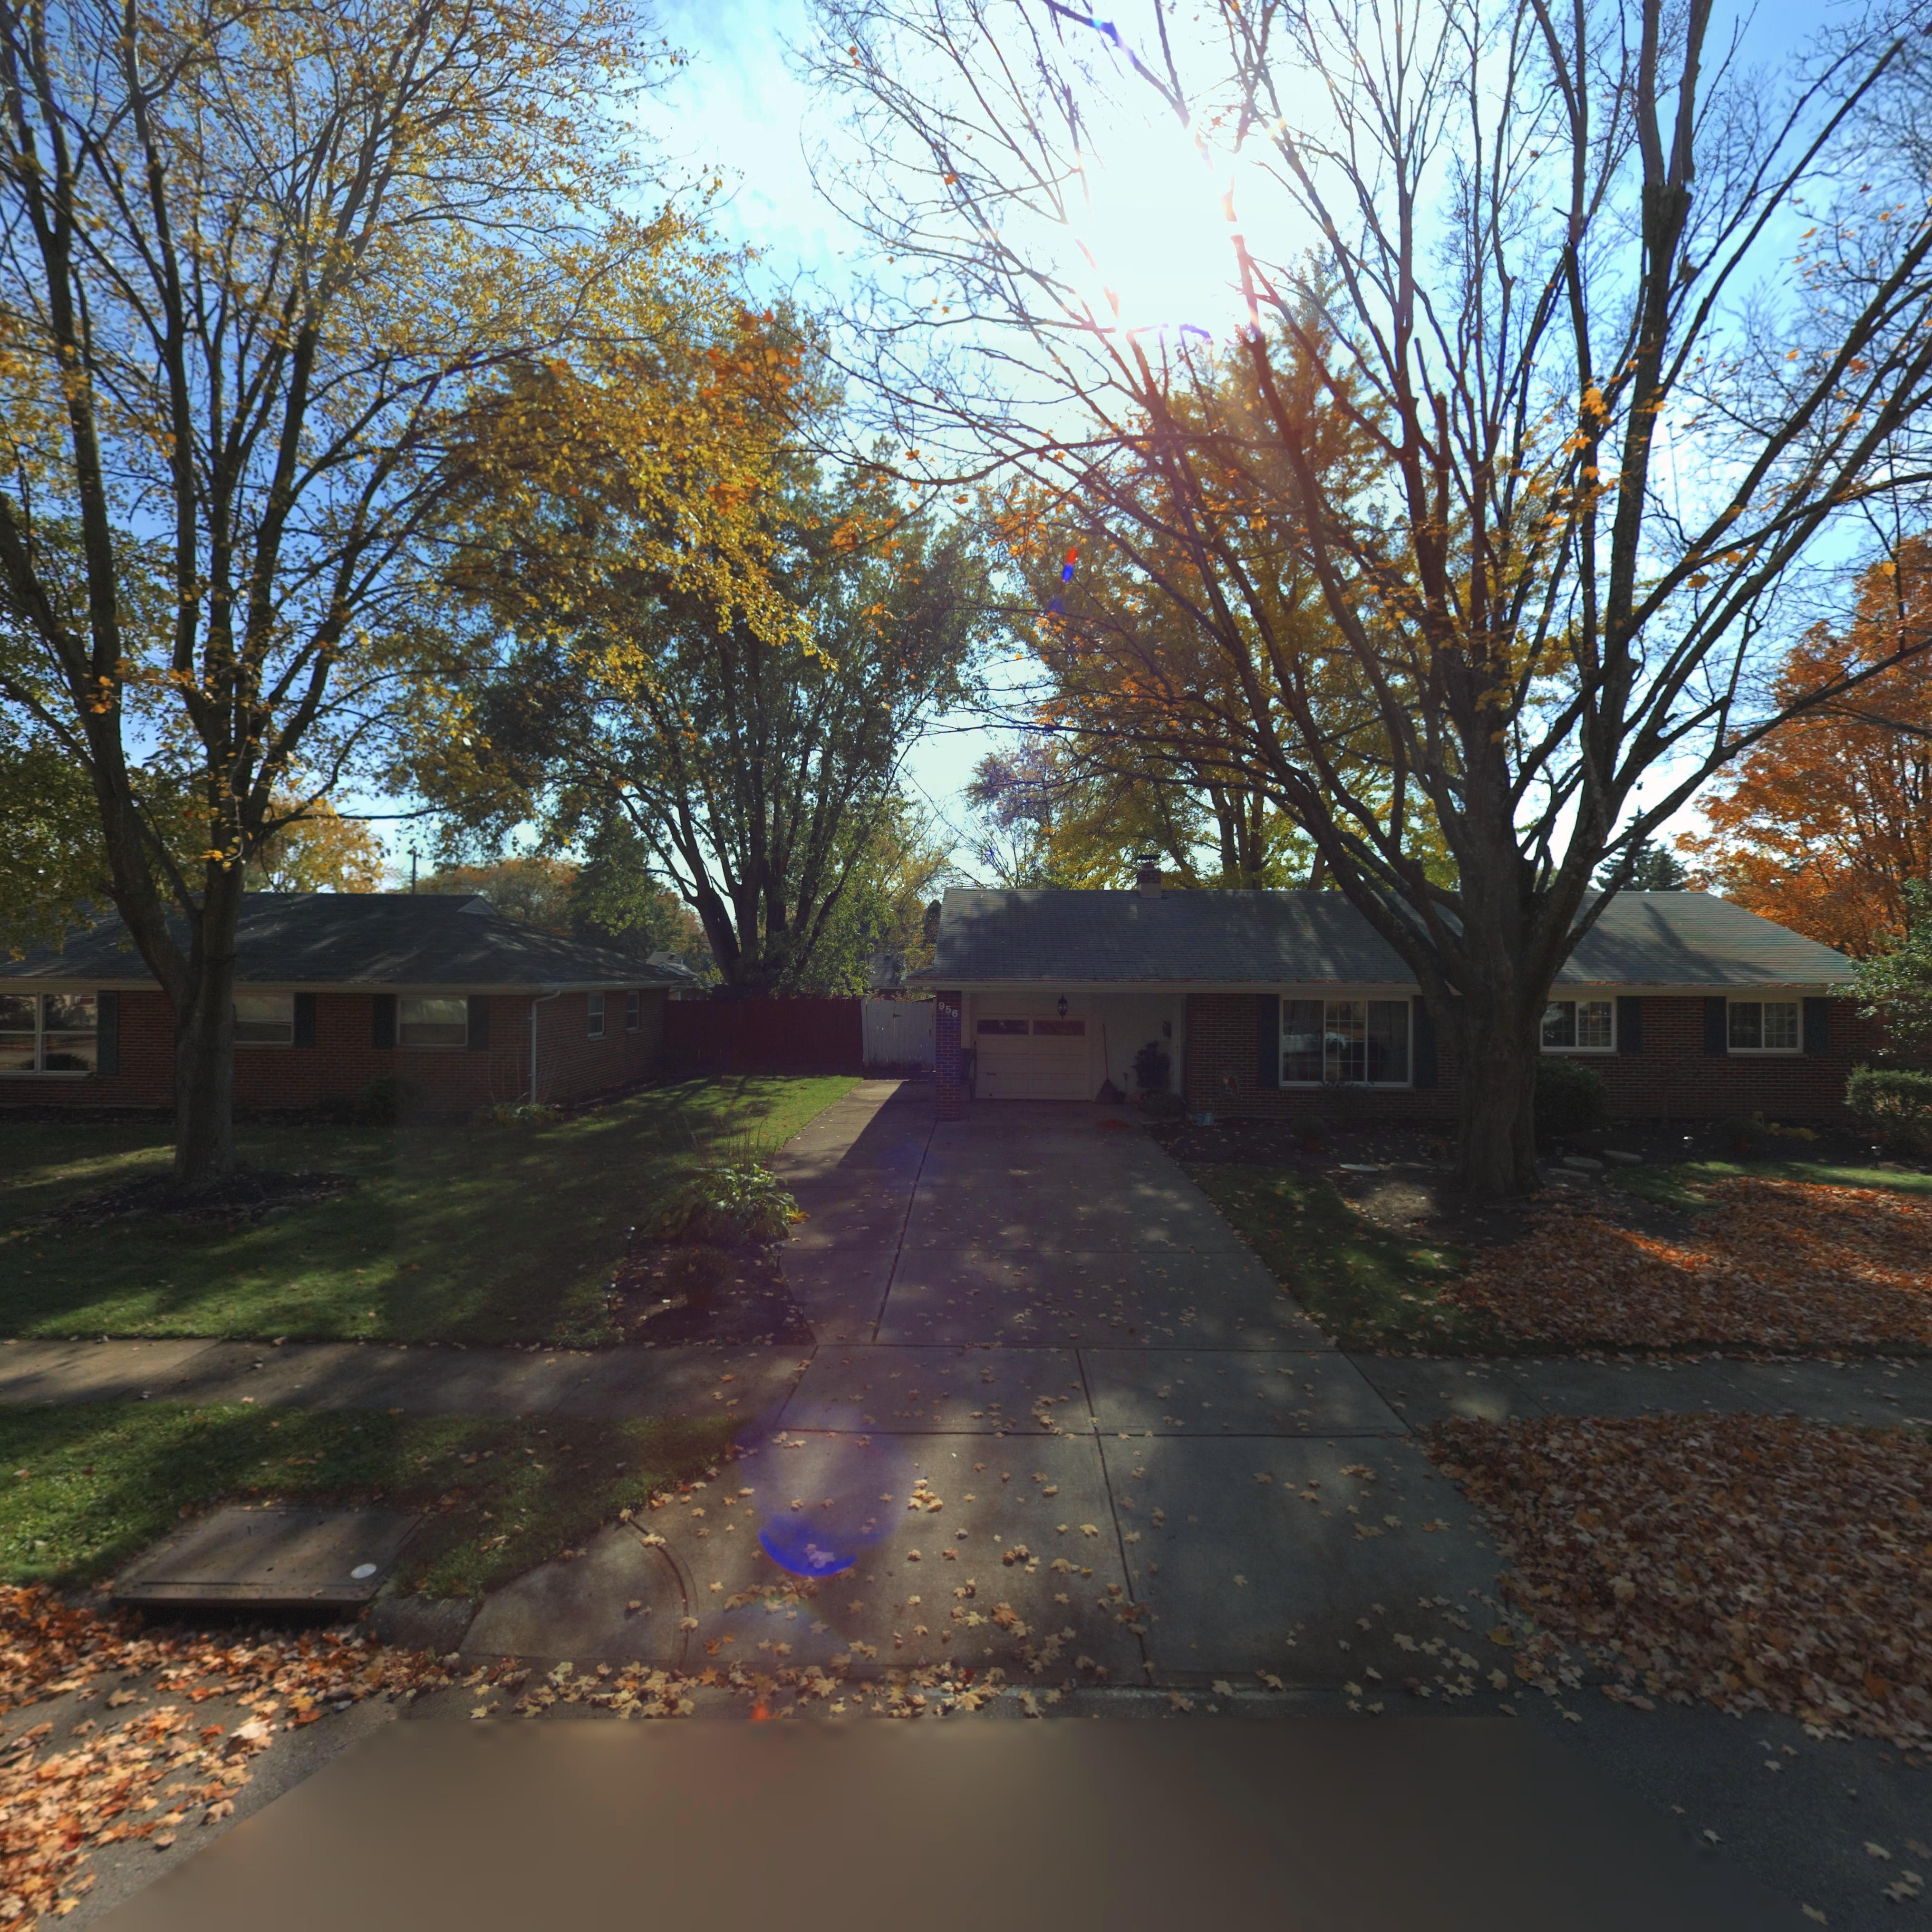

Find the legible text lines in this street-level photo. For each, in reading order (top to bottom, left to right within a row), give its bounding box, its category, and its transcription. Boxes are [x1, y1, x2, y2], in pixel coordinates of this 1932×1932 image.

[937, 998, 959, 1019] StreetNumber: 956